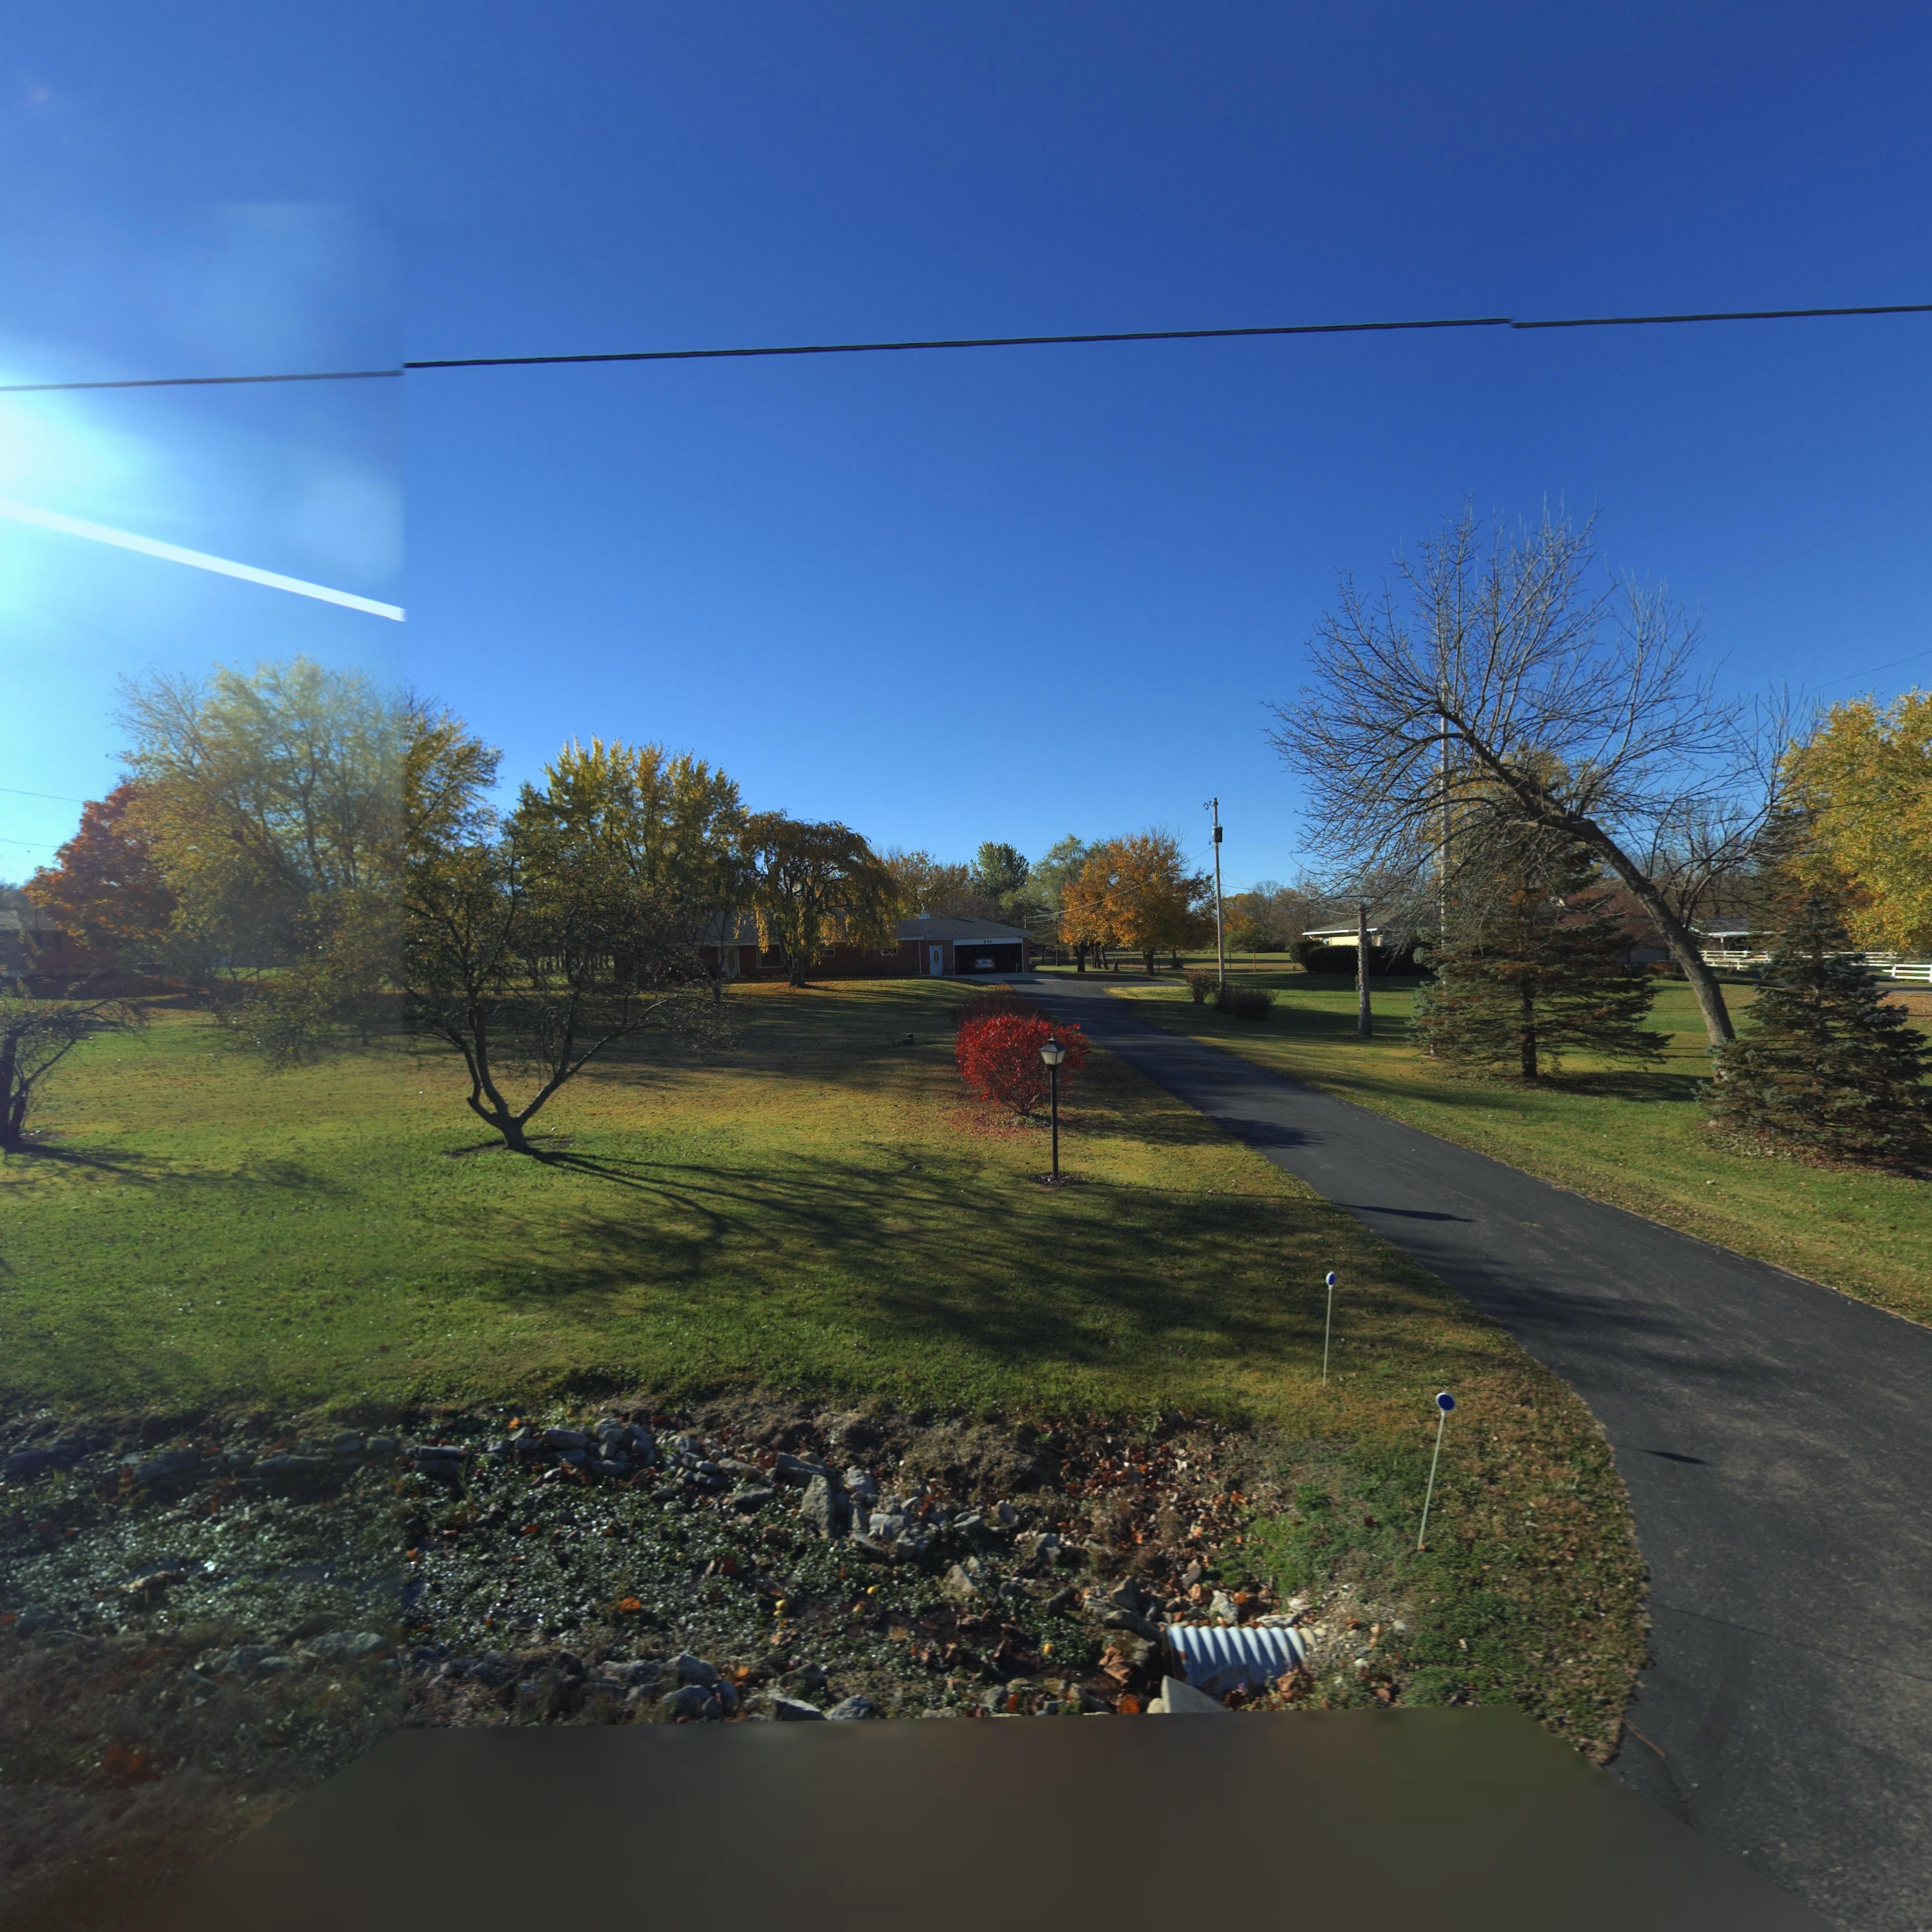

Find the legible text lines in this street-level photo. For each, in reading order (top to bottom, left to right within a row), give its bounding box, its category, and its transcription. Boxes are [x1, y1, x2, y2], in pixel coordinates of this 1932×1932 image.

[983, 939, 993, 944] StreetNumber: 830